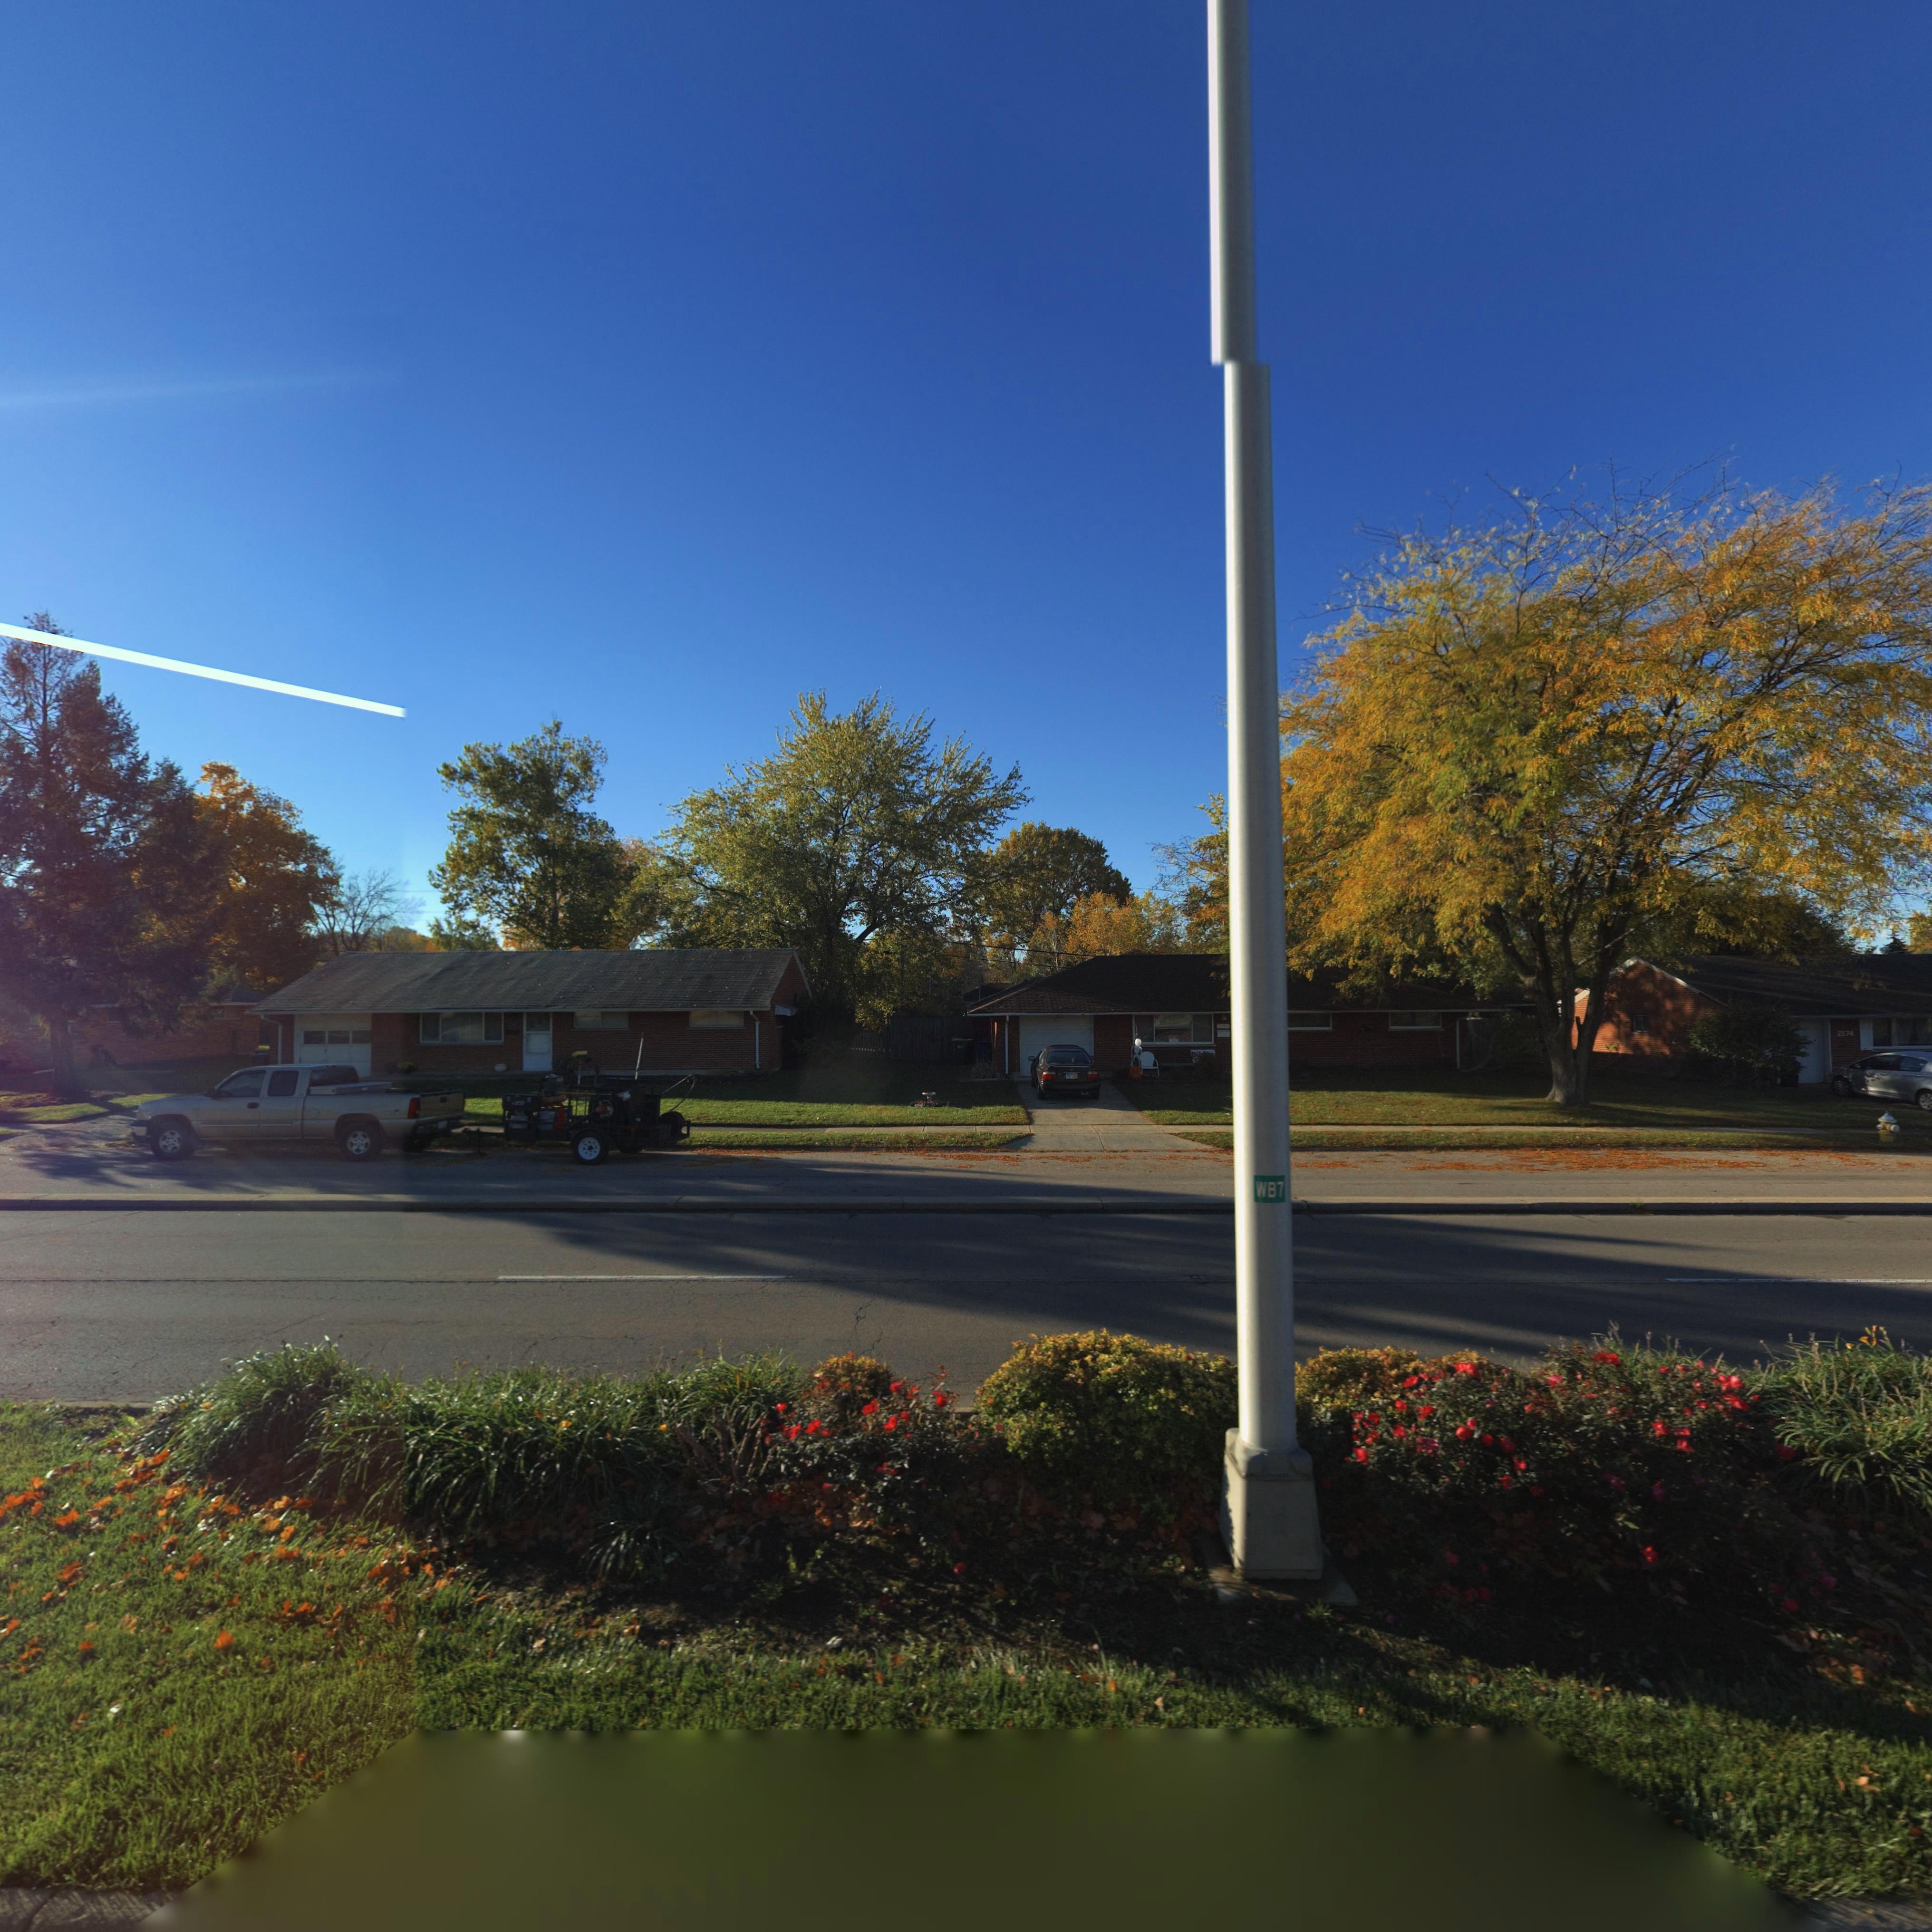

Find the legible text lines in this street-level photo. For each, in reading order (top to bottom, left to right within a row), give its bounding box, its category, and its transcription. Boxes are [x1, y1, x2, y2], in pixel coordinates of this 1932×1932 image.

[1836, 1030, 1854, 1037] StreetNumber: 2174